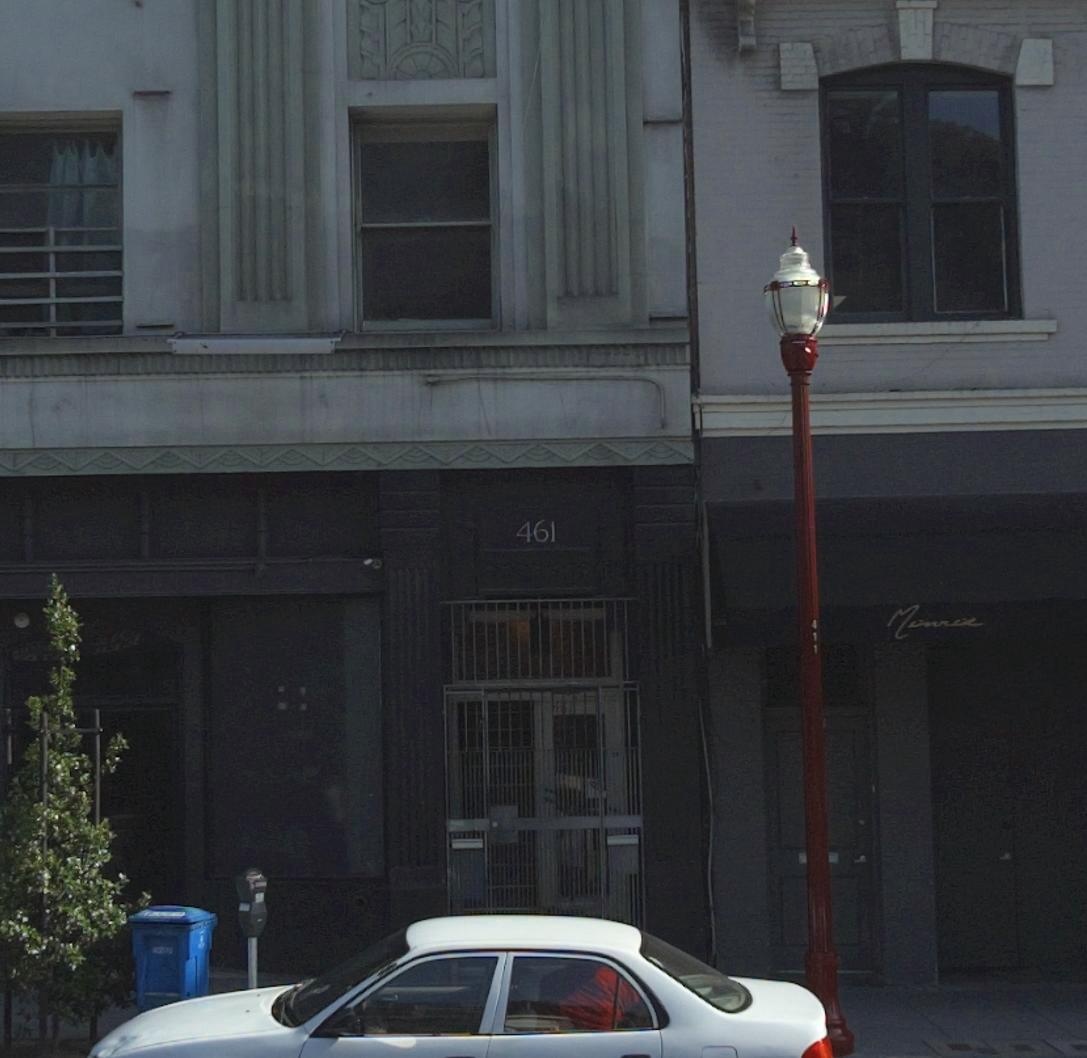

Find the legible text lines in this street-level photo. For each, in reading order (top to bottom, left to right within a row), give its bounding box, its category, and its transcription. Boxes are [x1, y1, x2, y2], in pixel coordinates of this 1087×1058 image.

[514, 516, 556, 545] StreetNumber: 461
[809, 616, 819, 655] None: 411
[885, 602, 921, 640] BusinessName: M